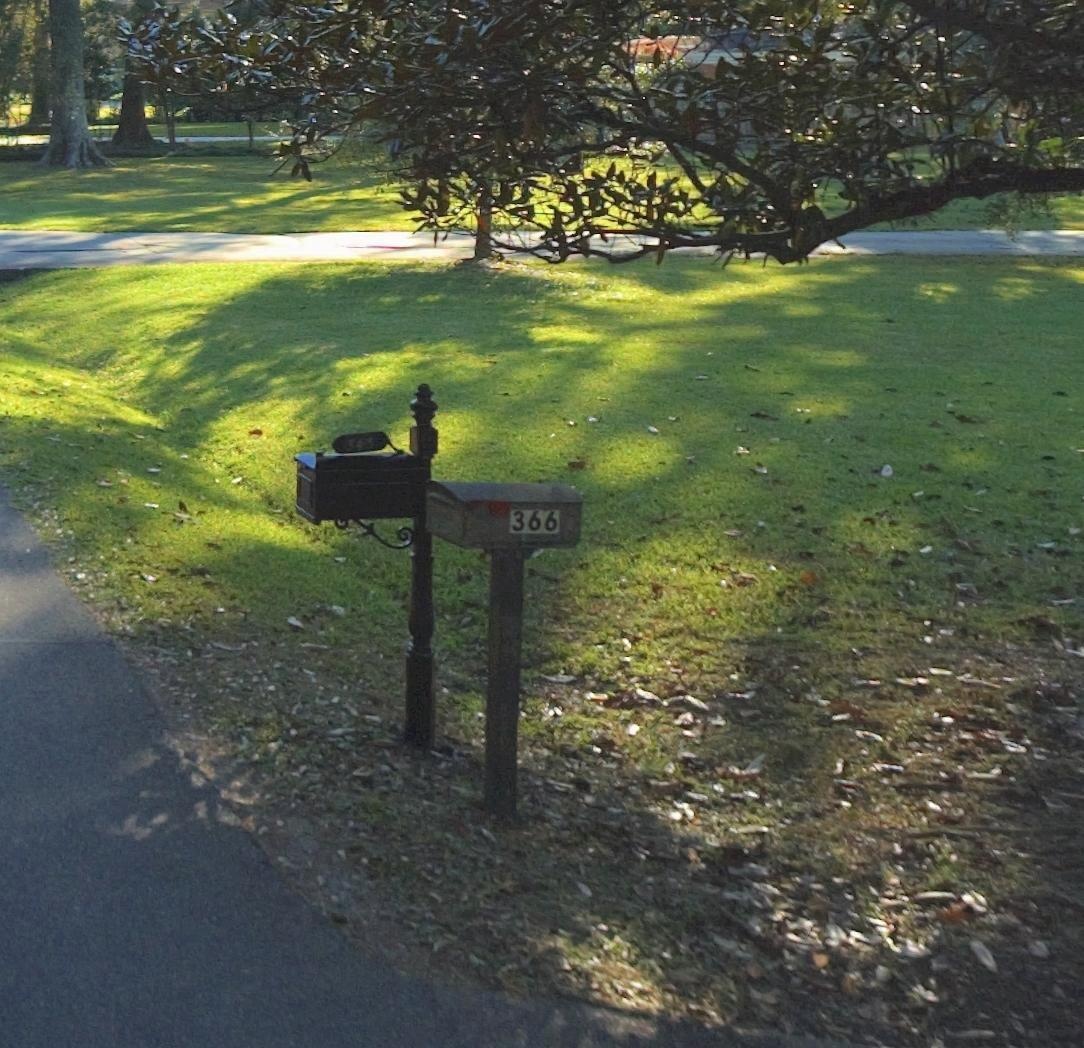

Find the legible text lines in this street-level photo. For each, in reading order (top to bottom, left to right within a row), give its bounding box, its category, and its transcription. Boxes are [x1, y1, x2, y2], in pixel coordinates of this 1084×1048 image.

[510, 509, 559, 534] StreetNumber: 366